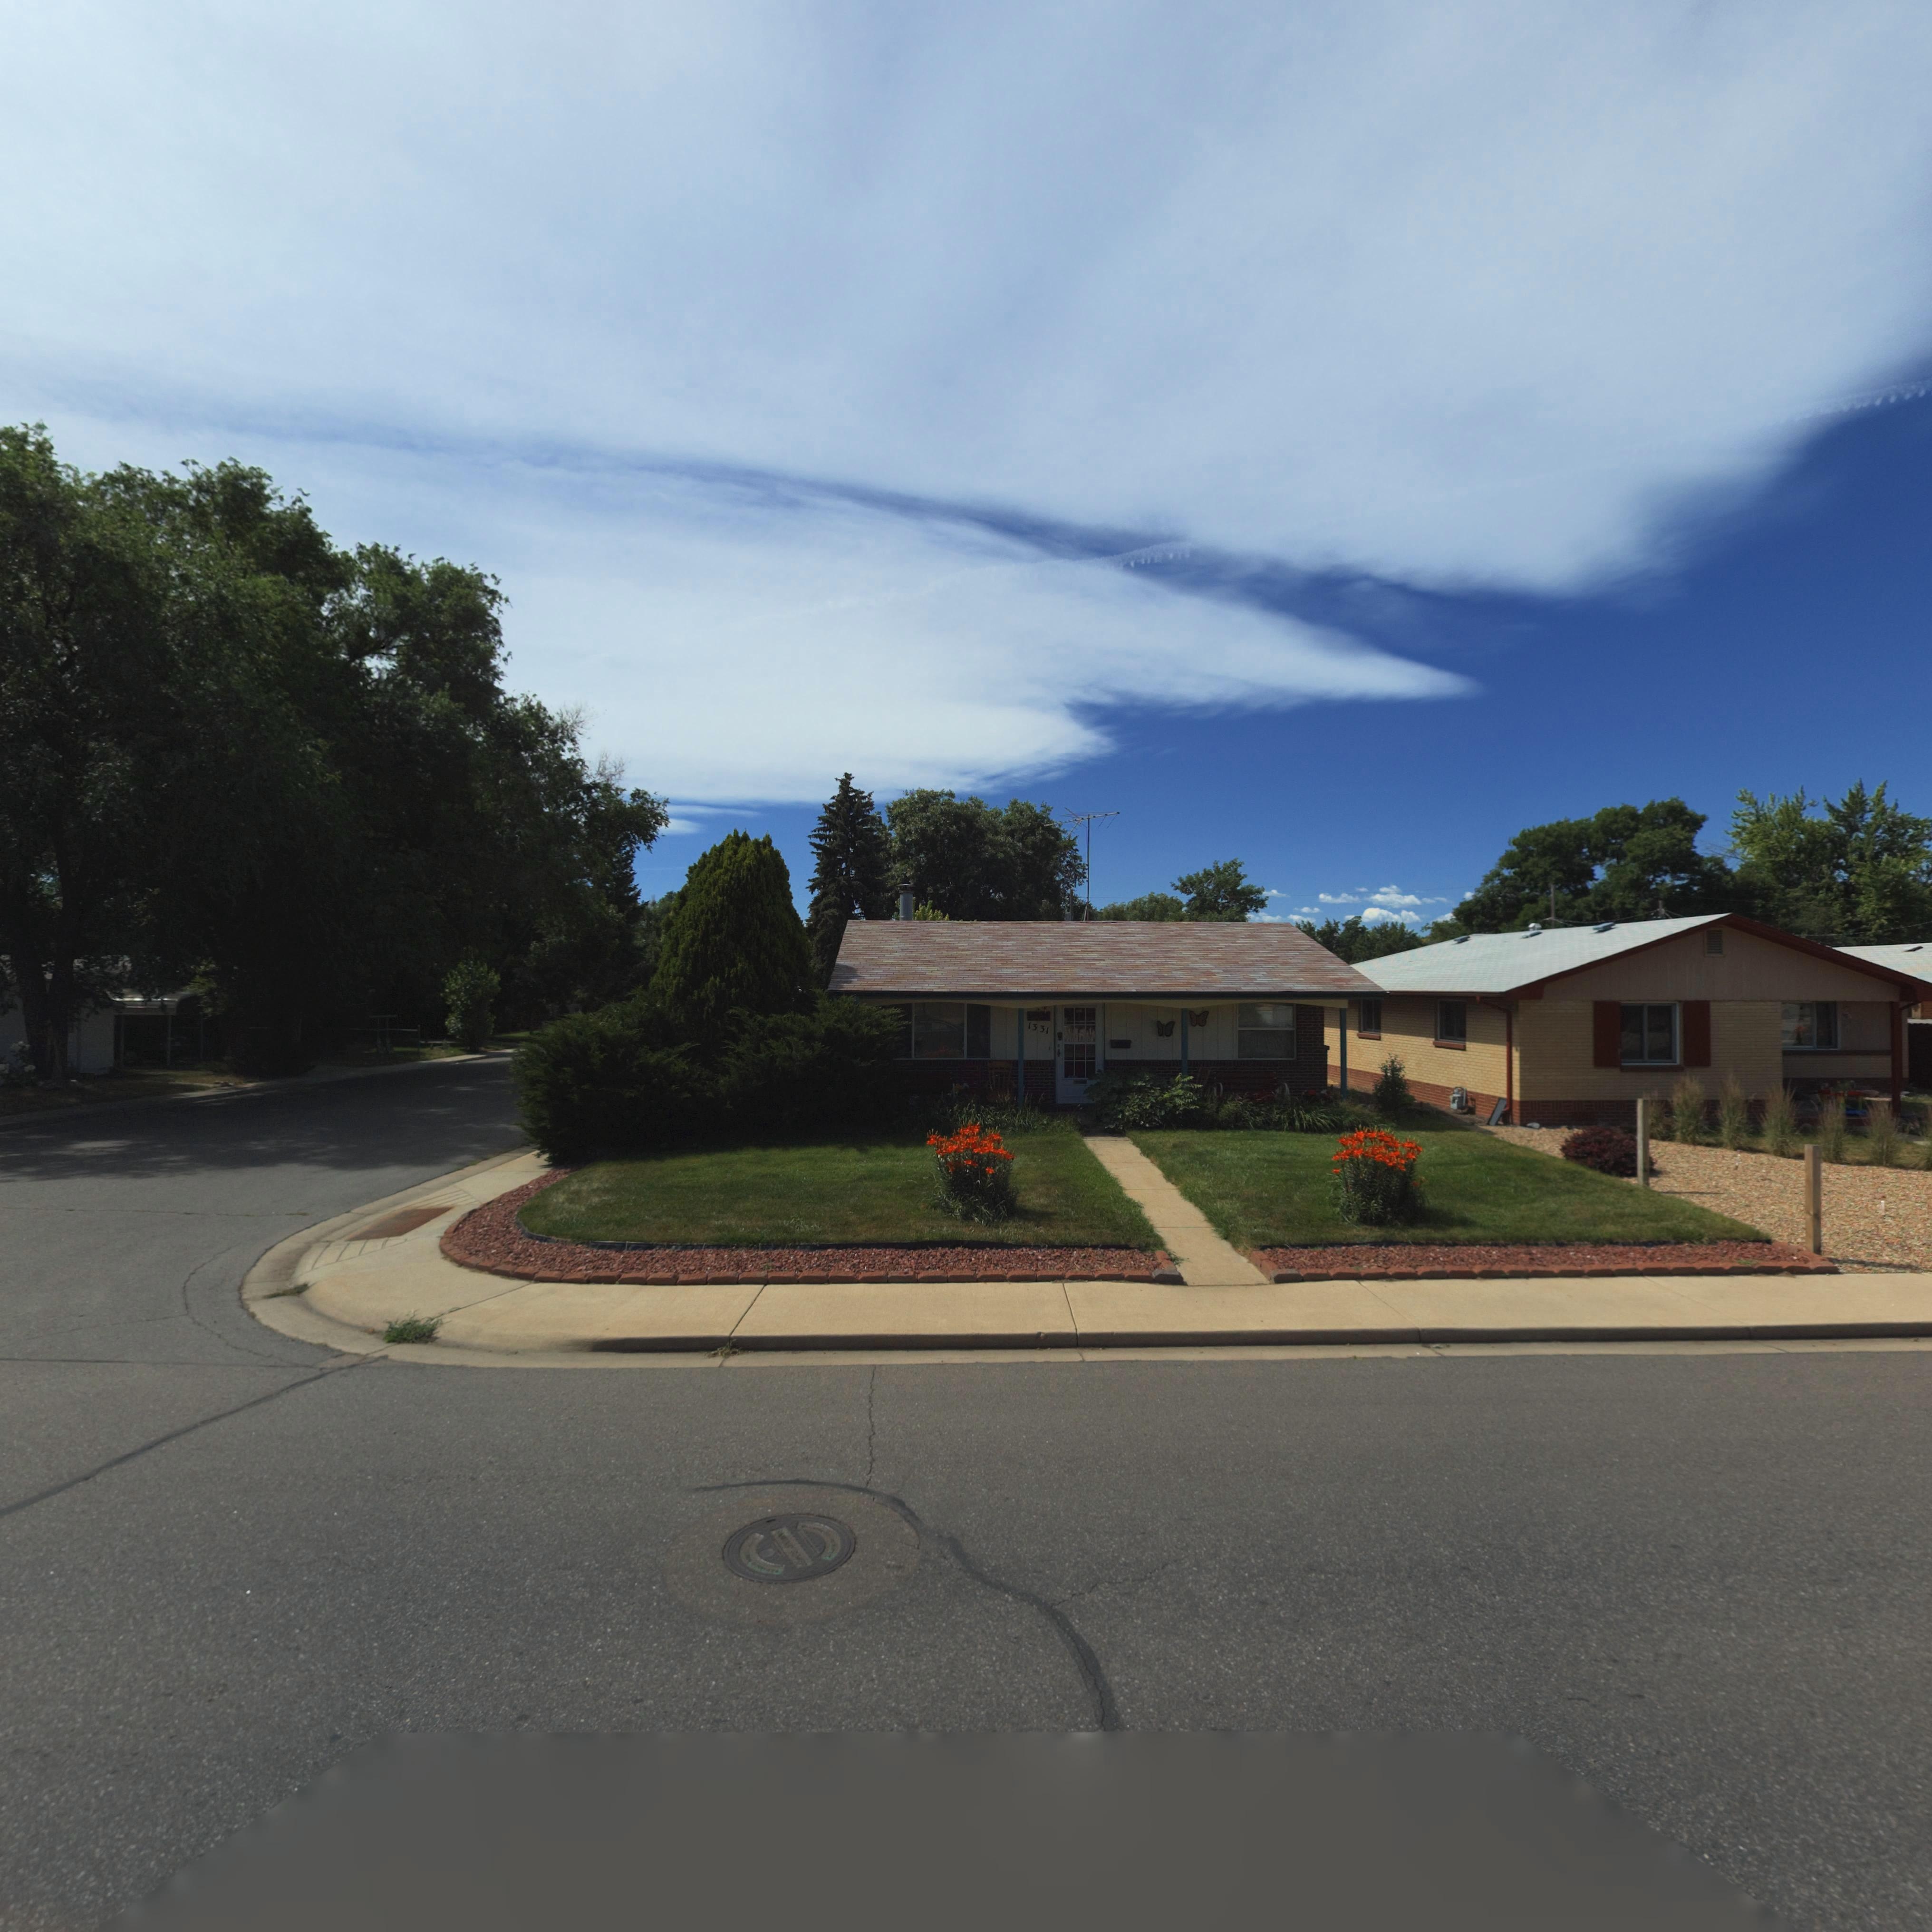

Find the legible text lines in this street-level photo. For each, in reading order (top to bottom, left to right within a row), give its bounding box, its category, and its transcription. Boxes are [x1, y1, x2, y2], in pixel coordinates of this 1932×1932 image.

[1027, 1022, 1049, 1034] StreetNumber: 1331